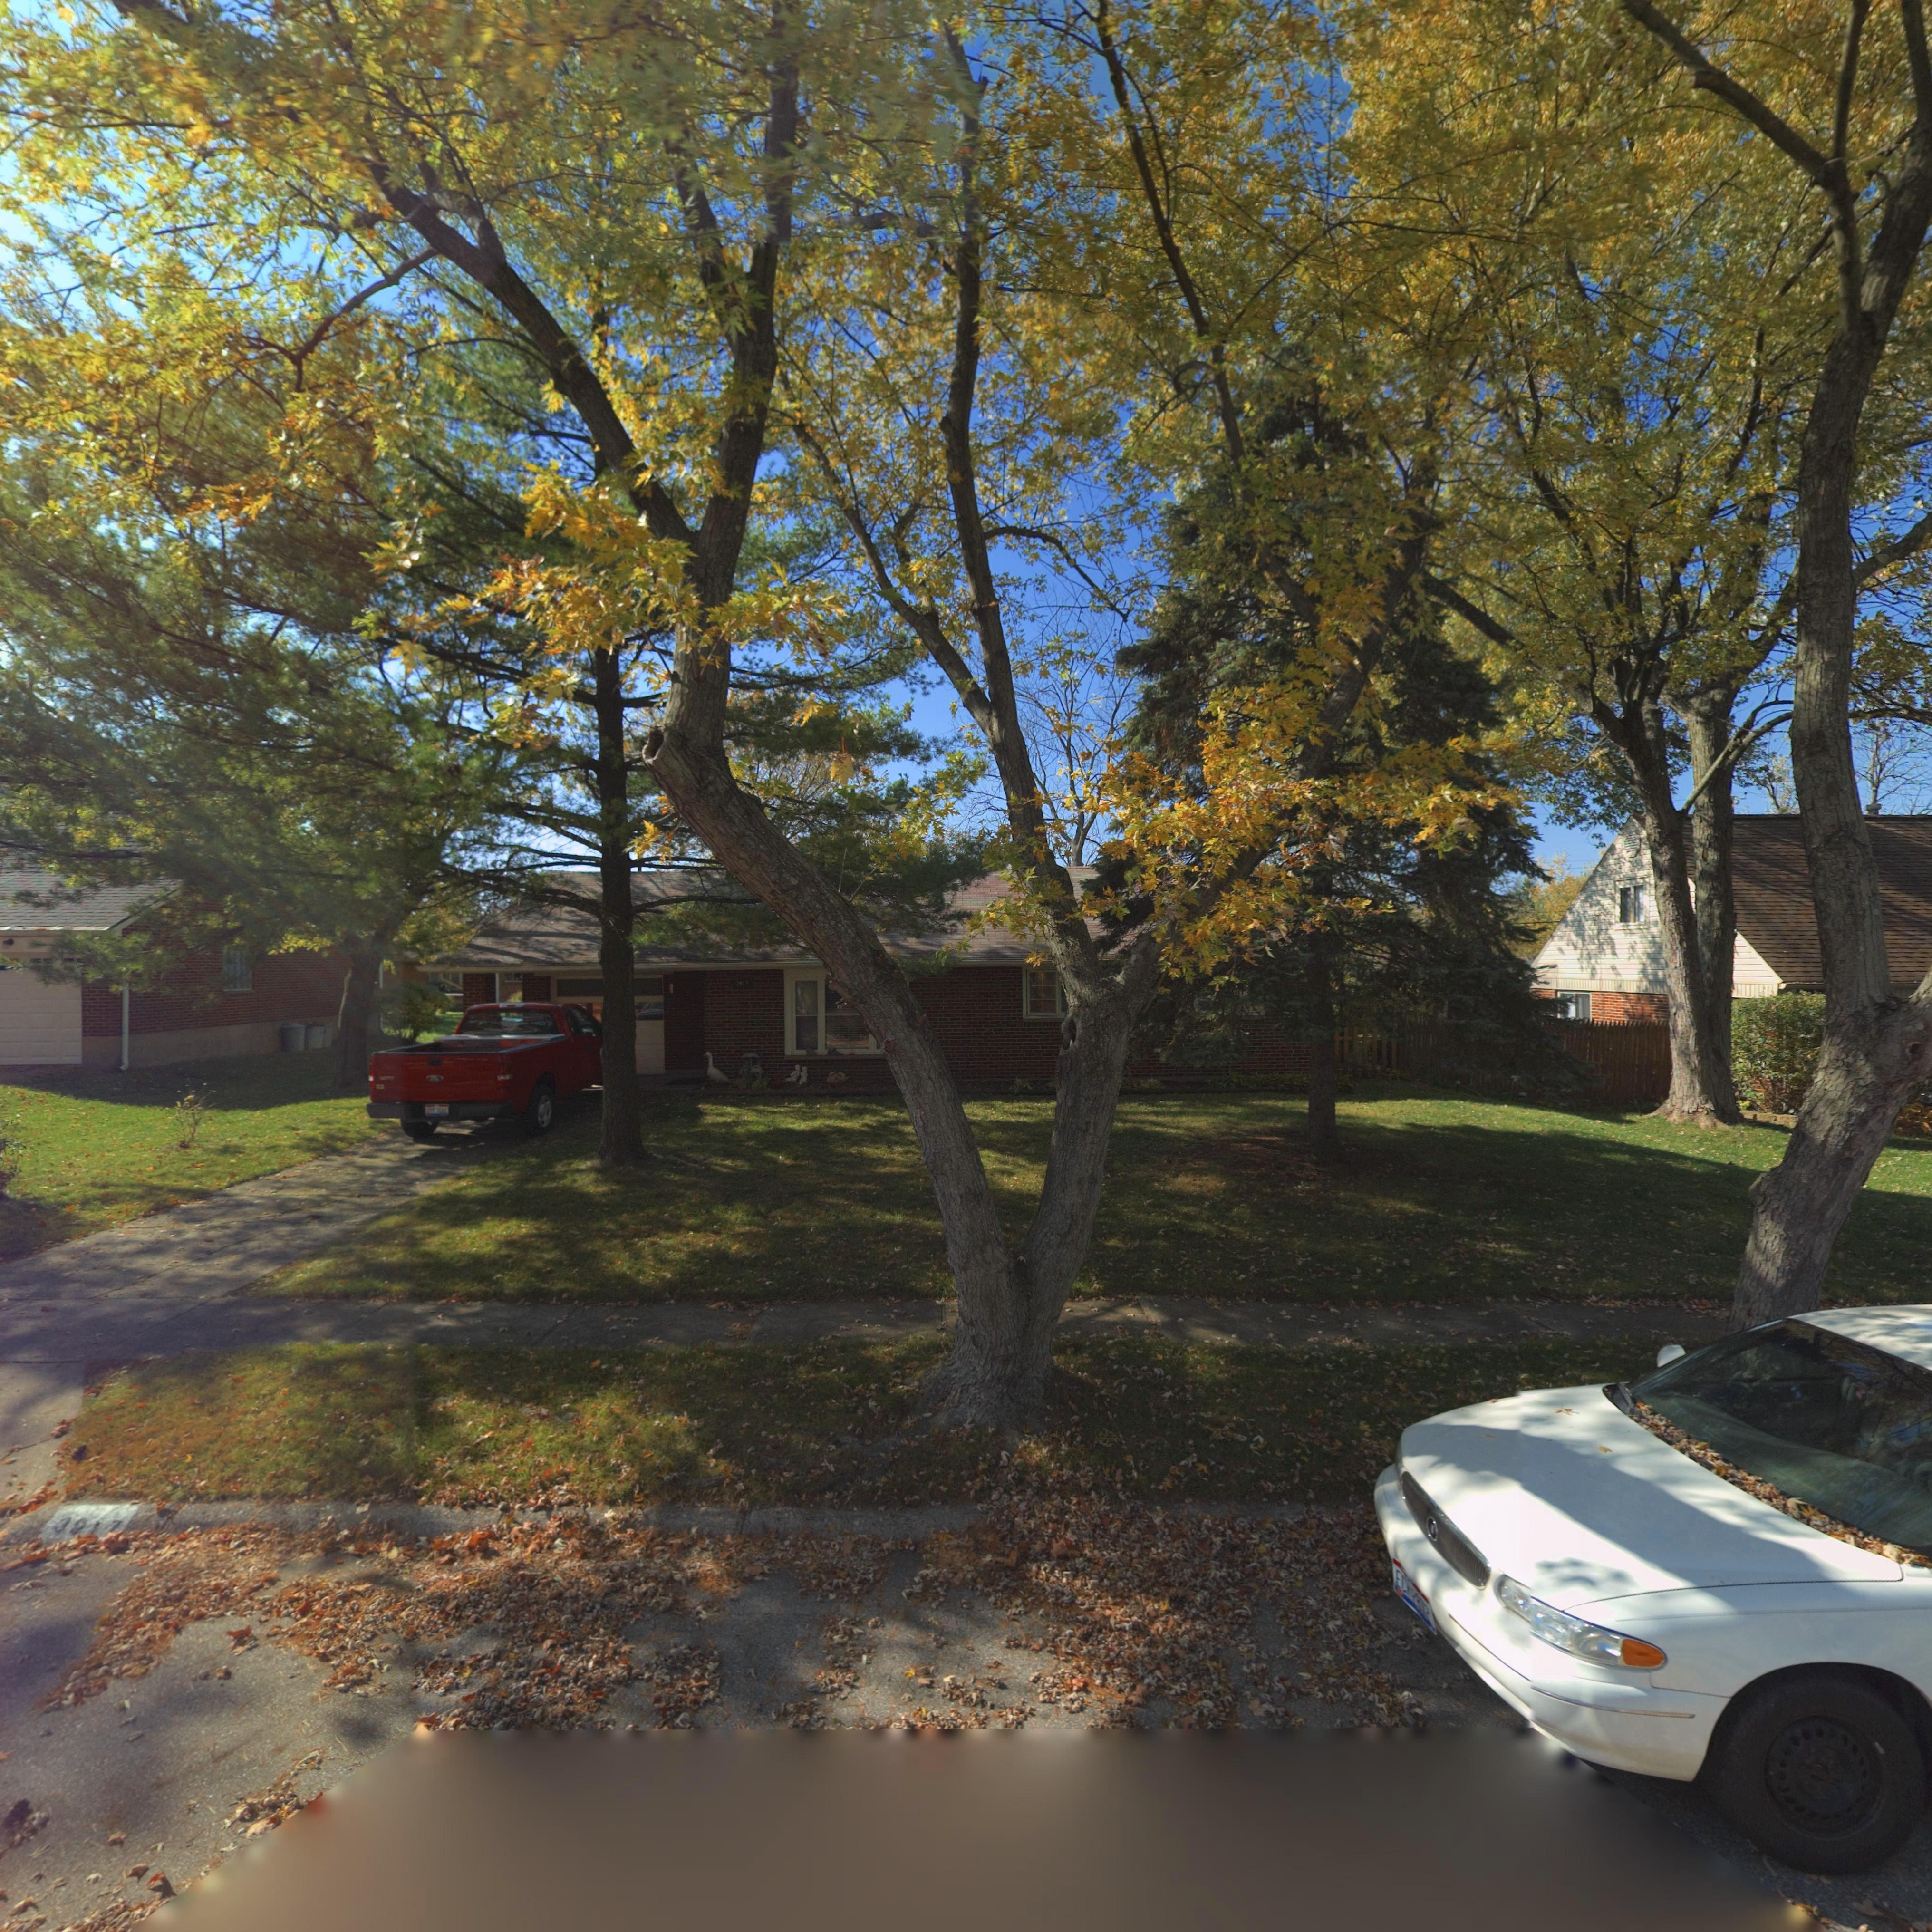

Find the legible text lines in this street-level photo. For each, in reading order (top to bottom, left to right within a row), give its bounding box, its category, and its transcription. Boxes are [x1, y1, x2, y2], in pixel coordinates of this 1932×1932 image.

[736, 981, 748, 986] StreetNumber: 3917
[51, 1517, 124, 1537] StreetNumber: 3917
[1395, 1568, 1430, 1623] None: EC**2872